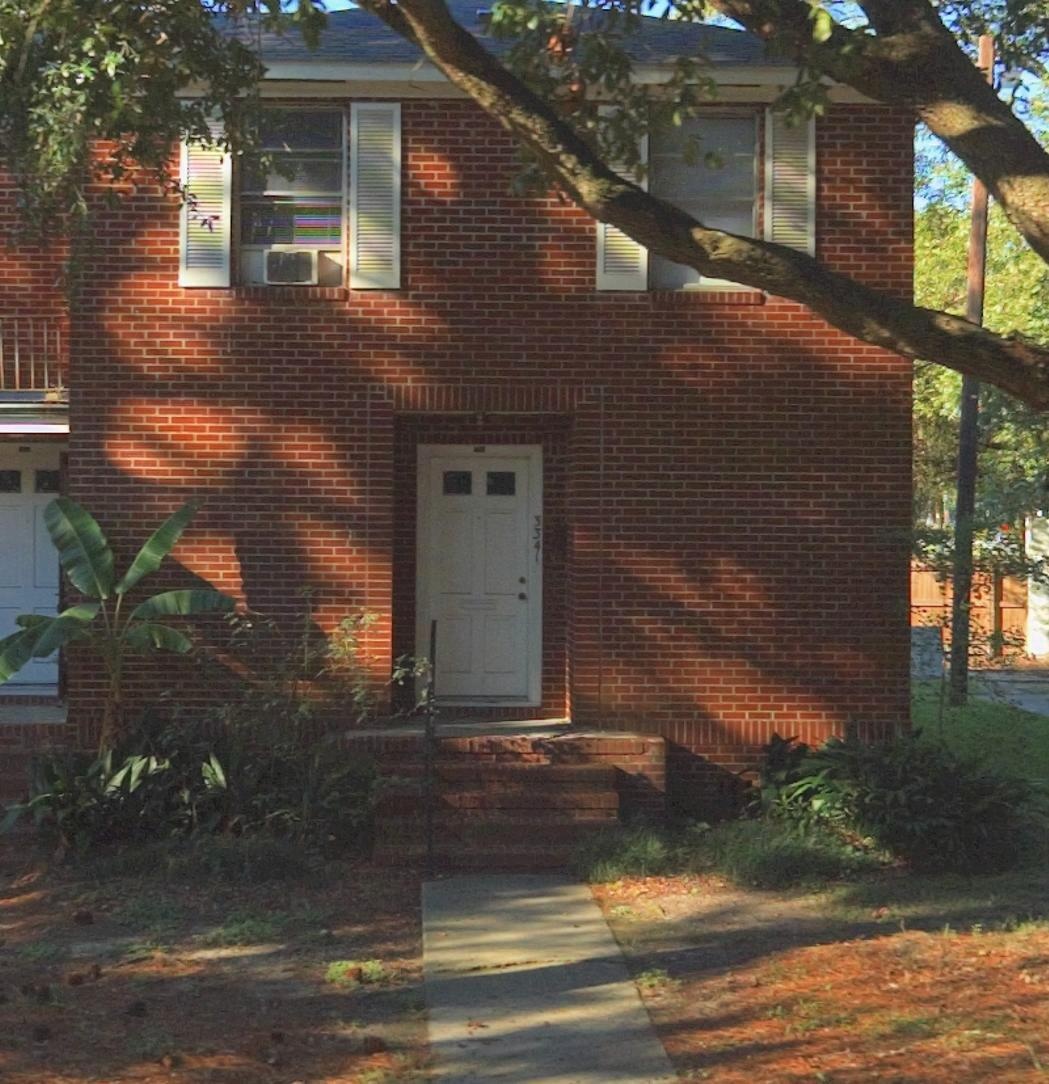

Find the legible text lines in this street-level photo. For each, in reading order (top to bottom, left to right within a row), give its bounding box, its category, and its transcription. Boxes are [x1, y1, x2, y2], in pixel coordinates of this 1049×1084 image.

[531, 512, 543, 564] StreetNumber: 3341